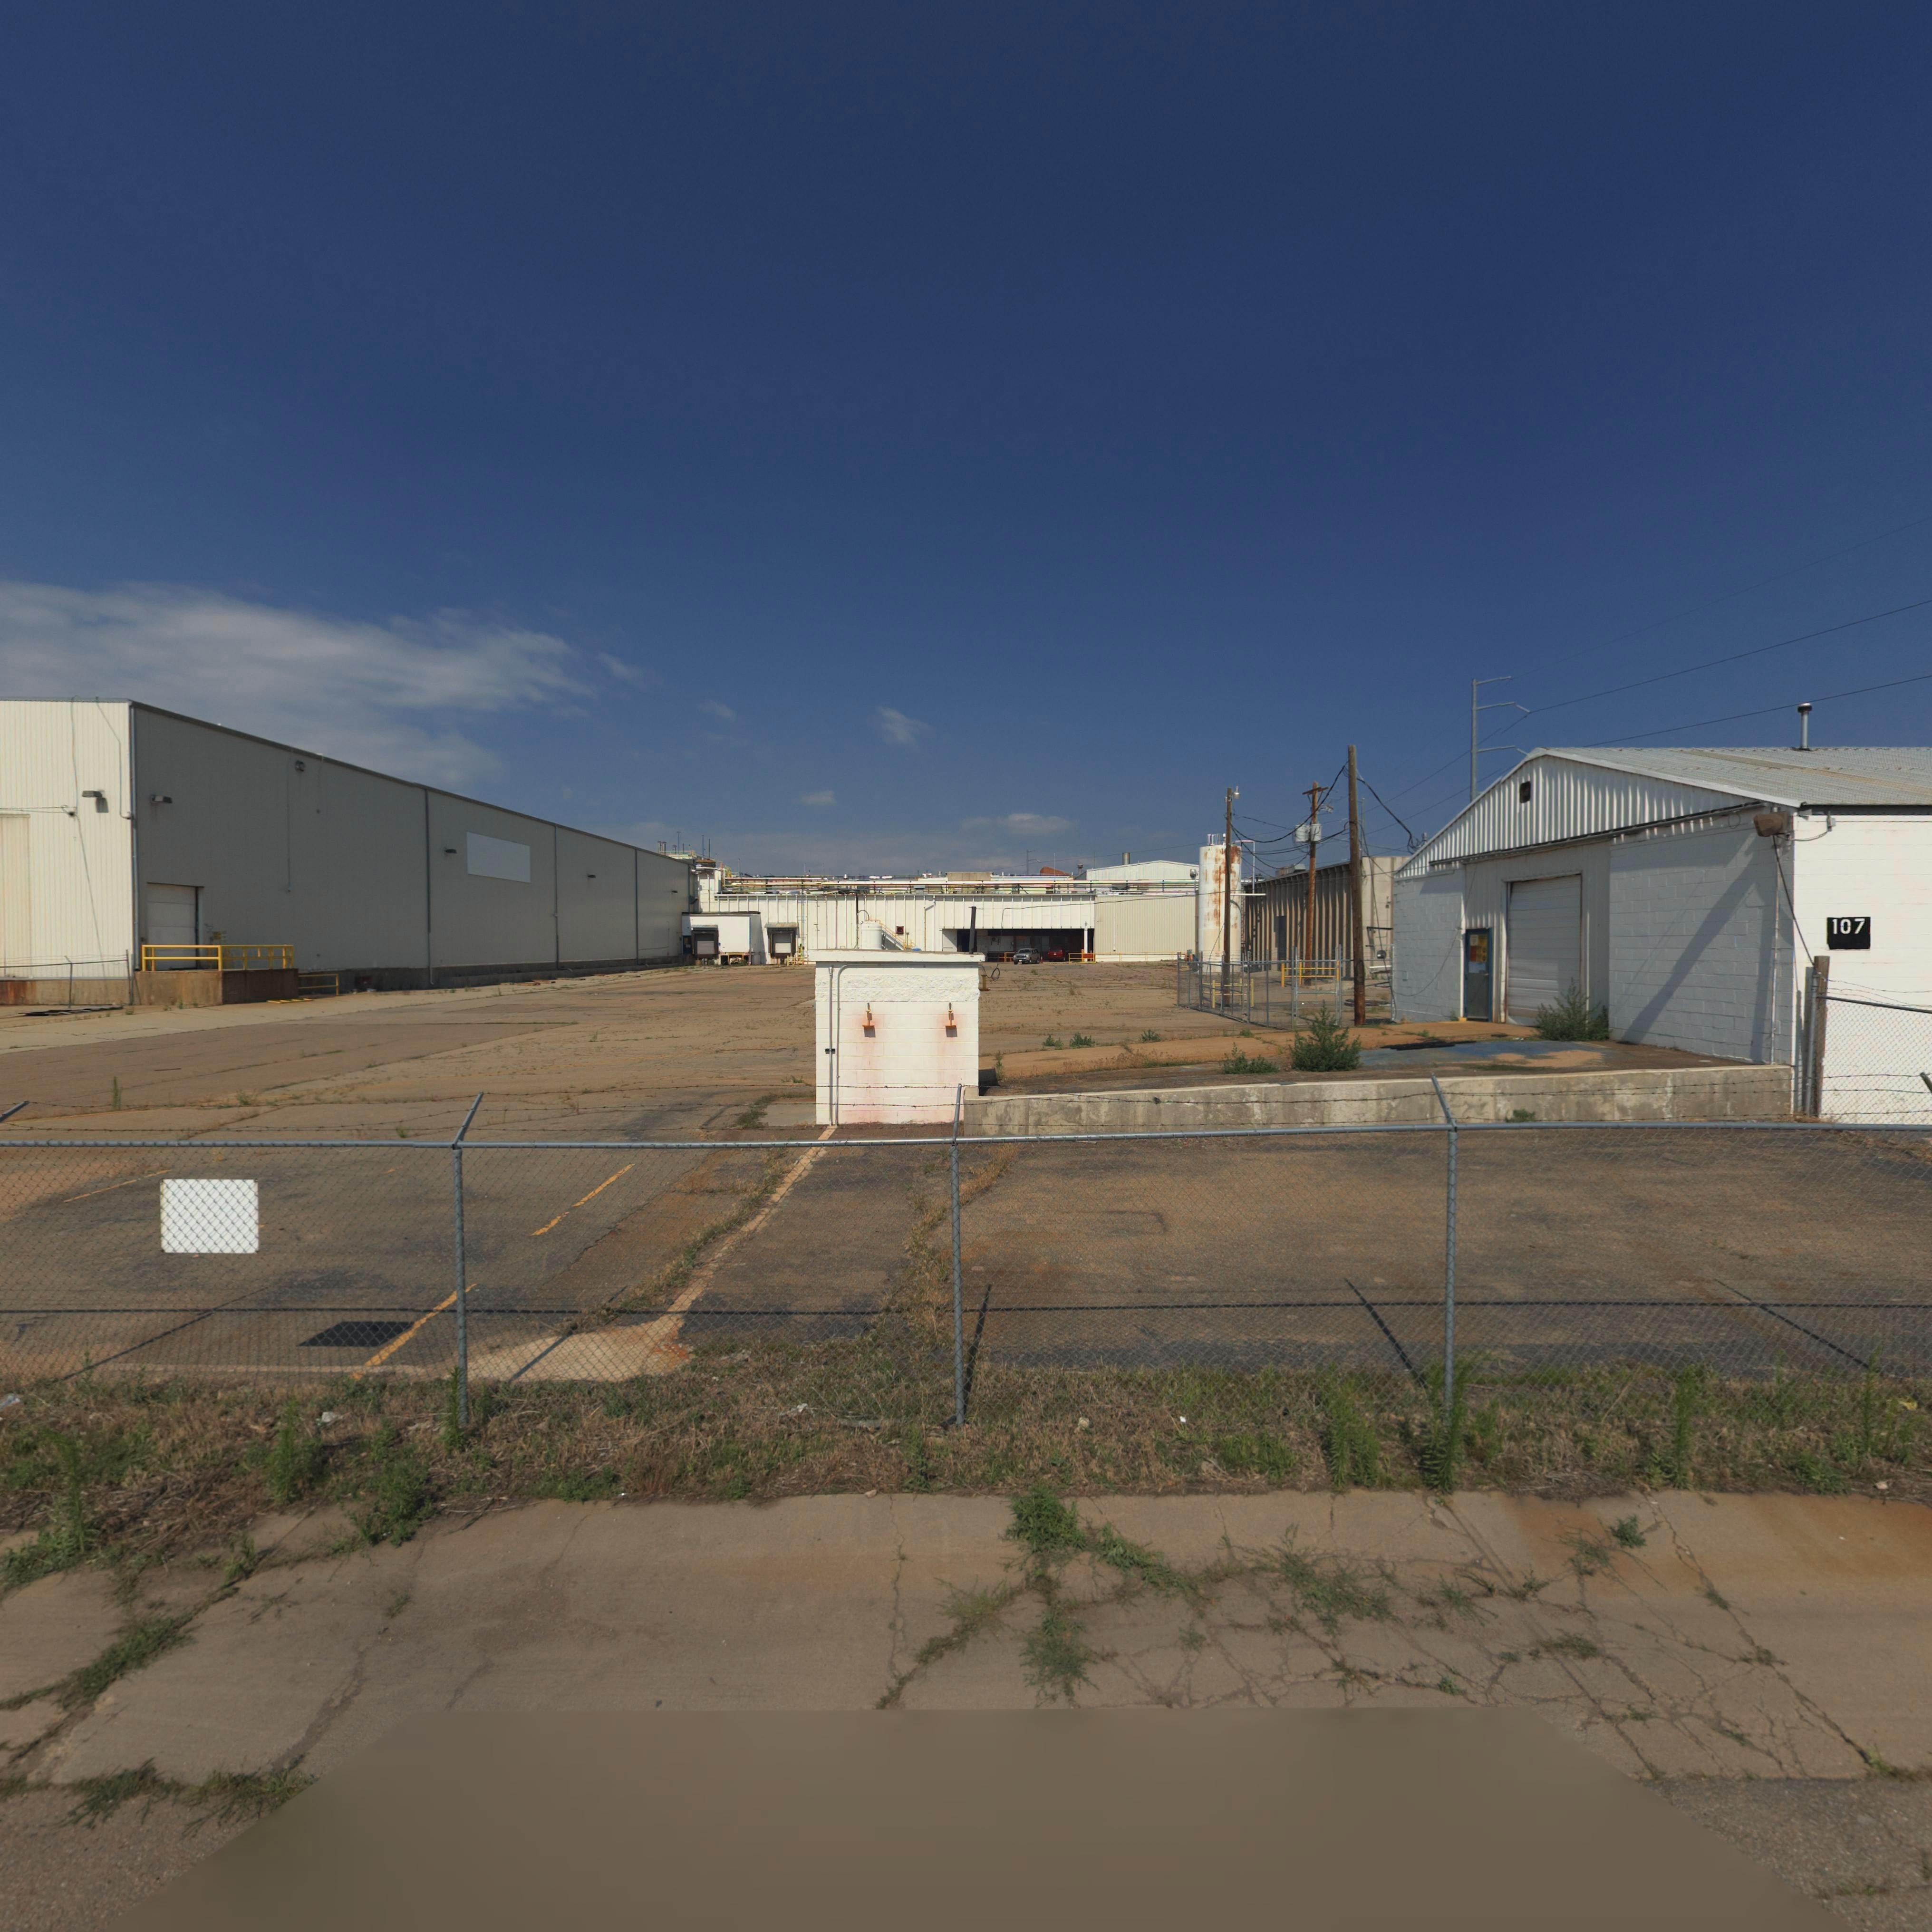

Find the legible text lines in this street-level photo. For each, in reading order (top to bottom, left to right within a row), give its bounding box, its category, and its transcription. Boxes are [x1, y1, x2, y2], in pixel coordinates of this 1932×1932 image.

[1832, 917, 1865, 934] StreetNumber: 107